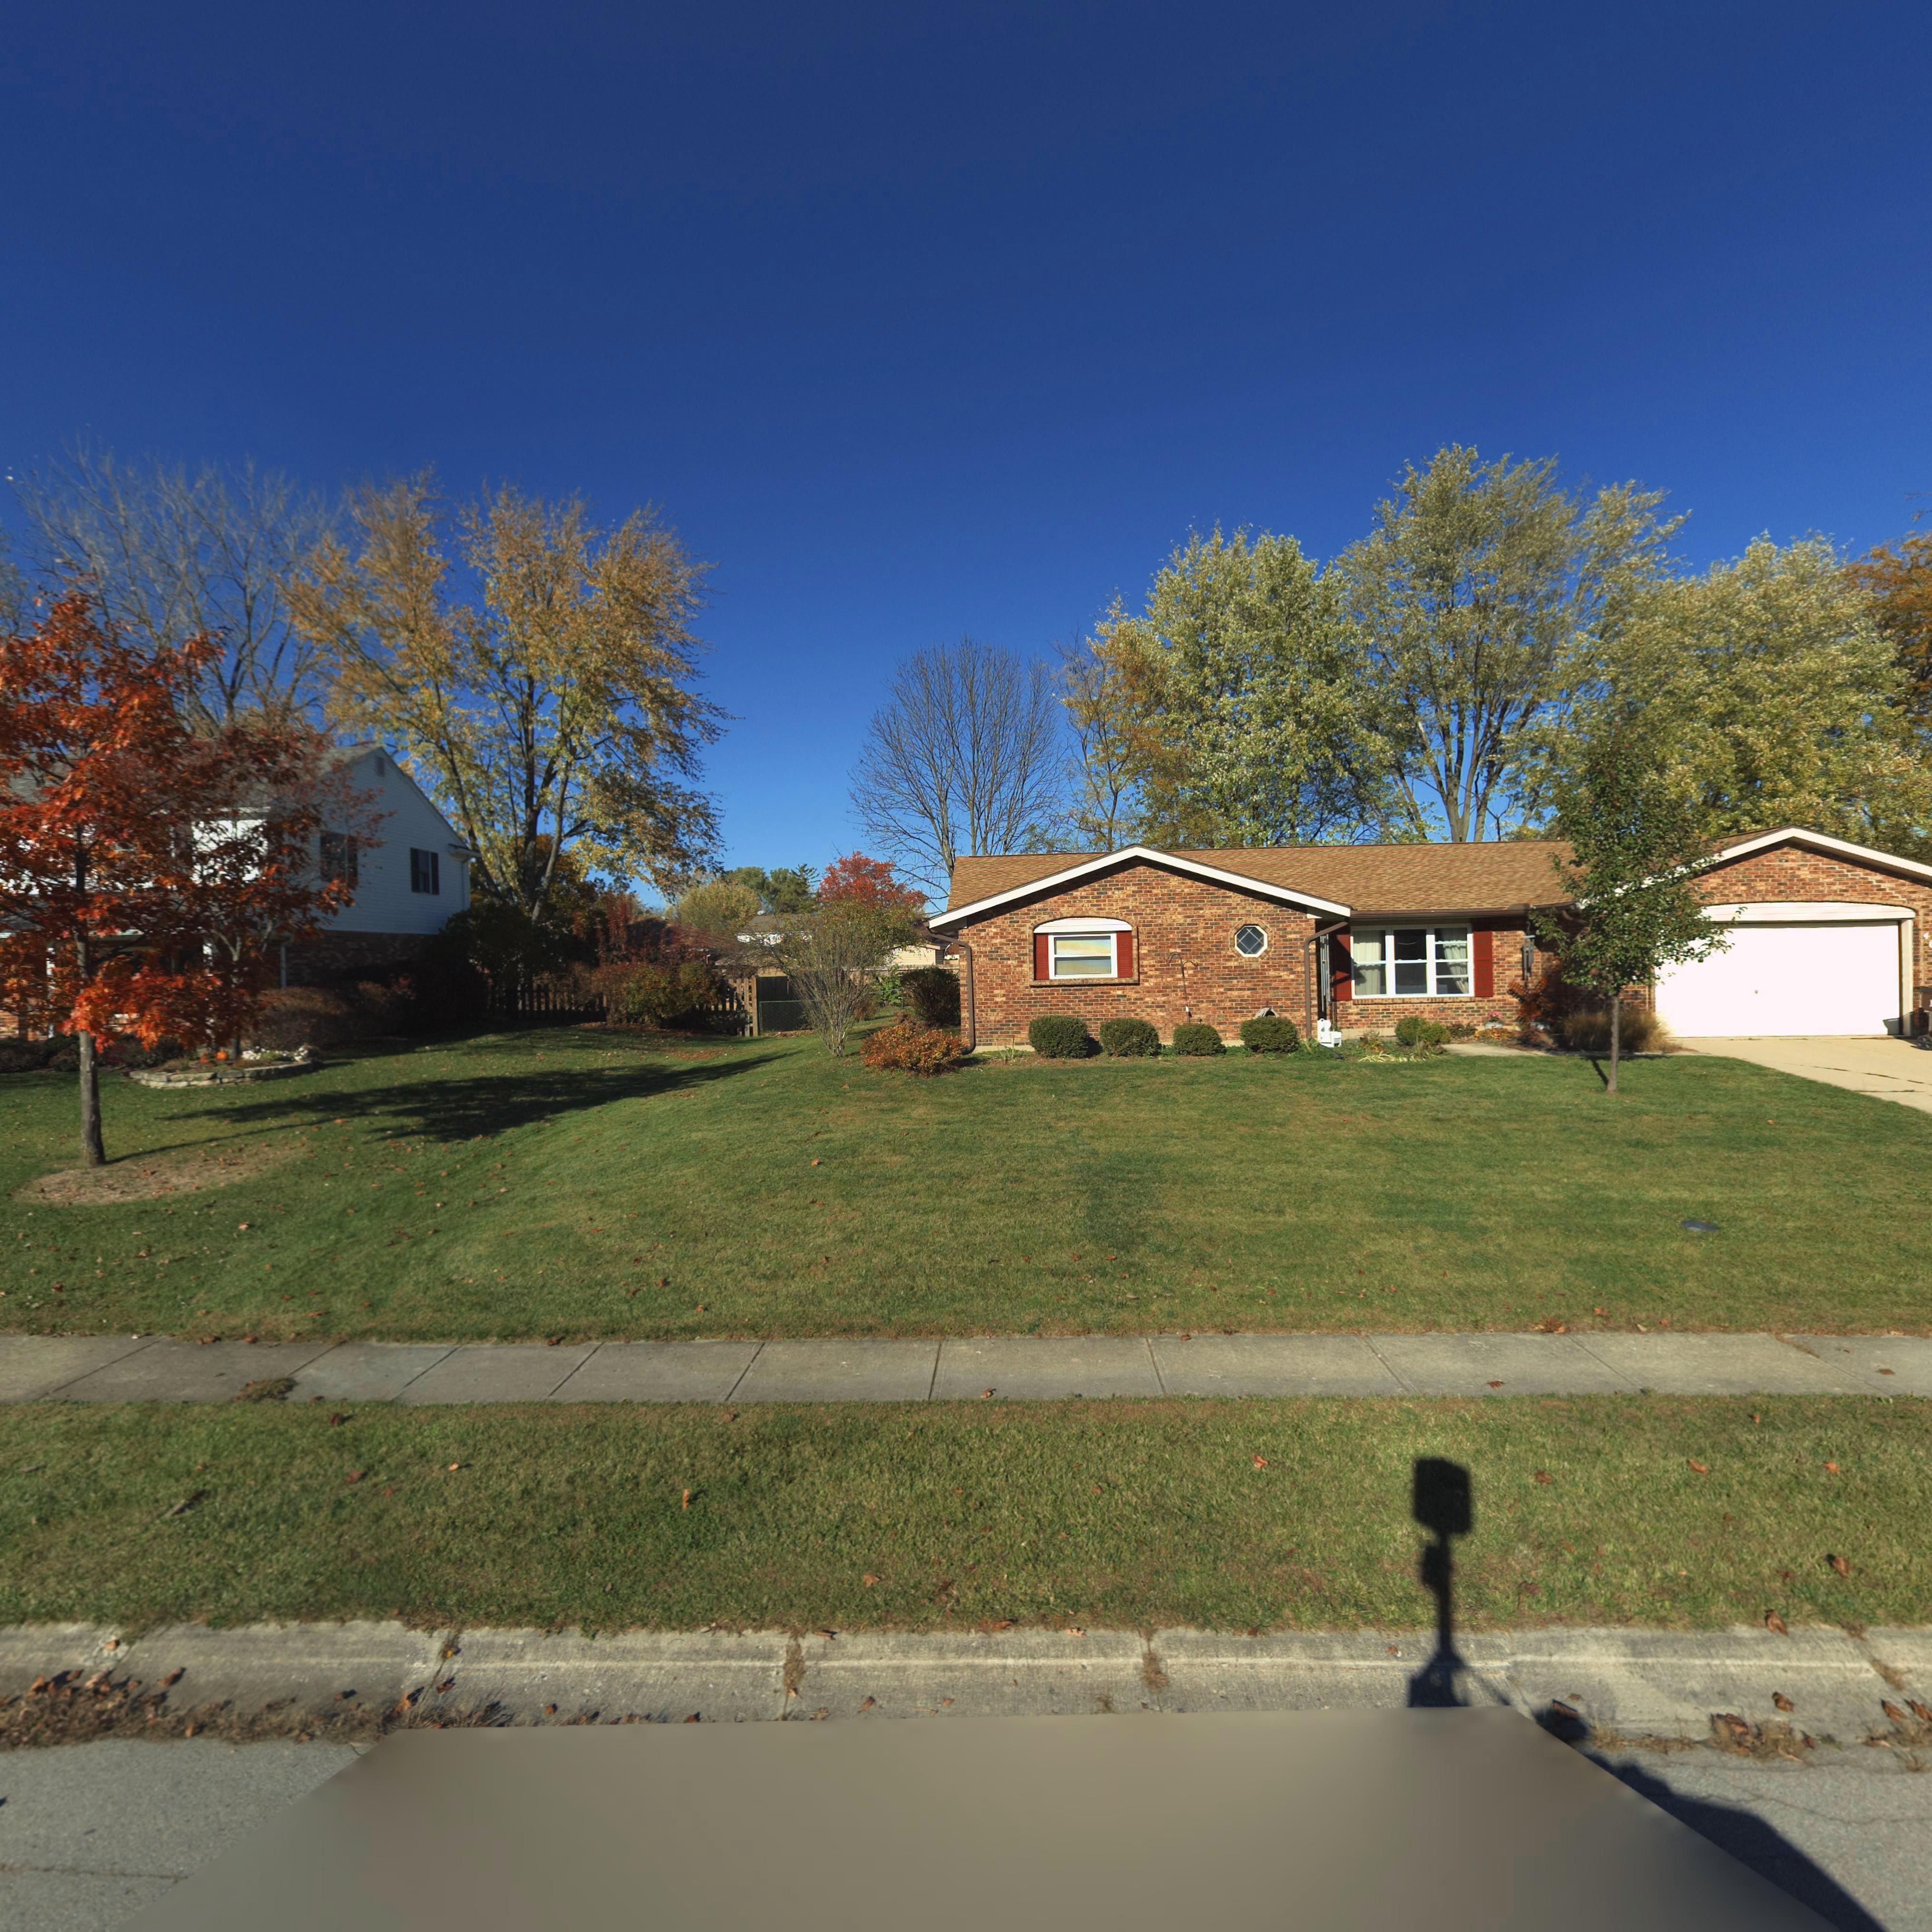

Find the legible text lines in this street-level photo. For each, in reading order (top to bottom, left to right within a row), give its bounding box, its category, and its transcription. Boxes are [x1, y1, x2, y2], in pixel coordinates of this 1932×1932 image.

[1922, 930, 1931, 940] StreetNumber: 4